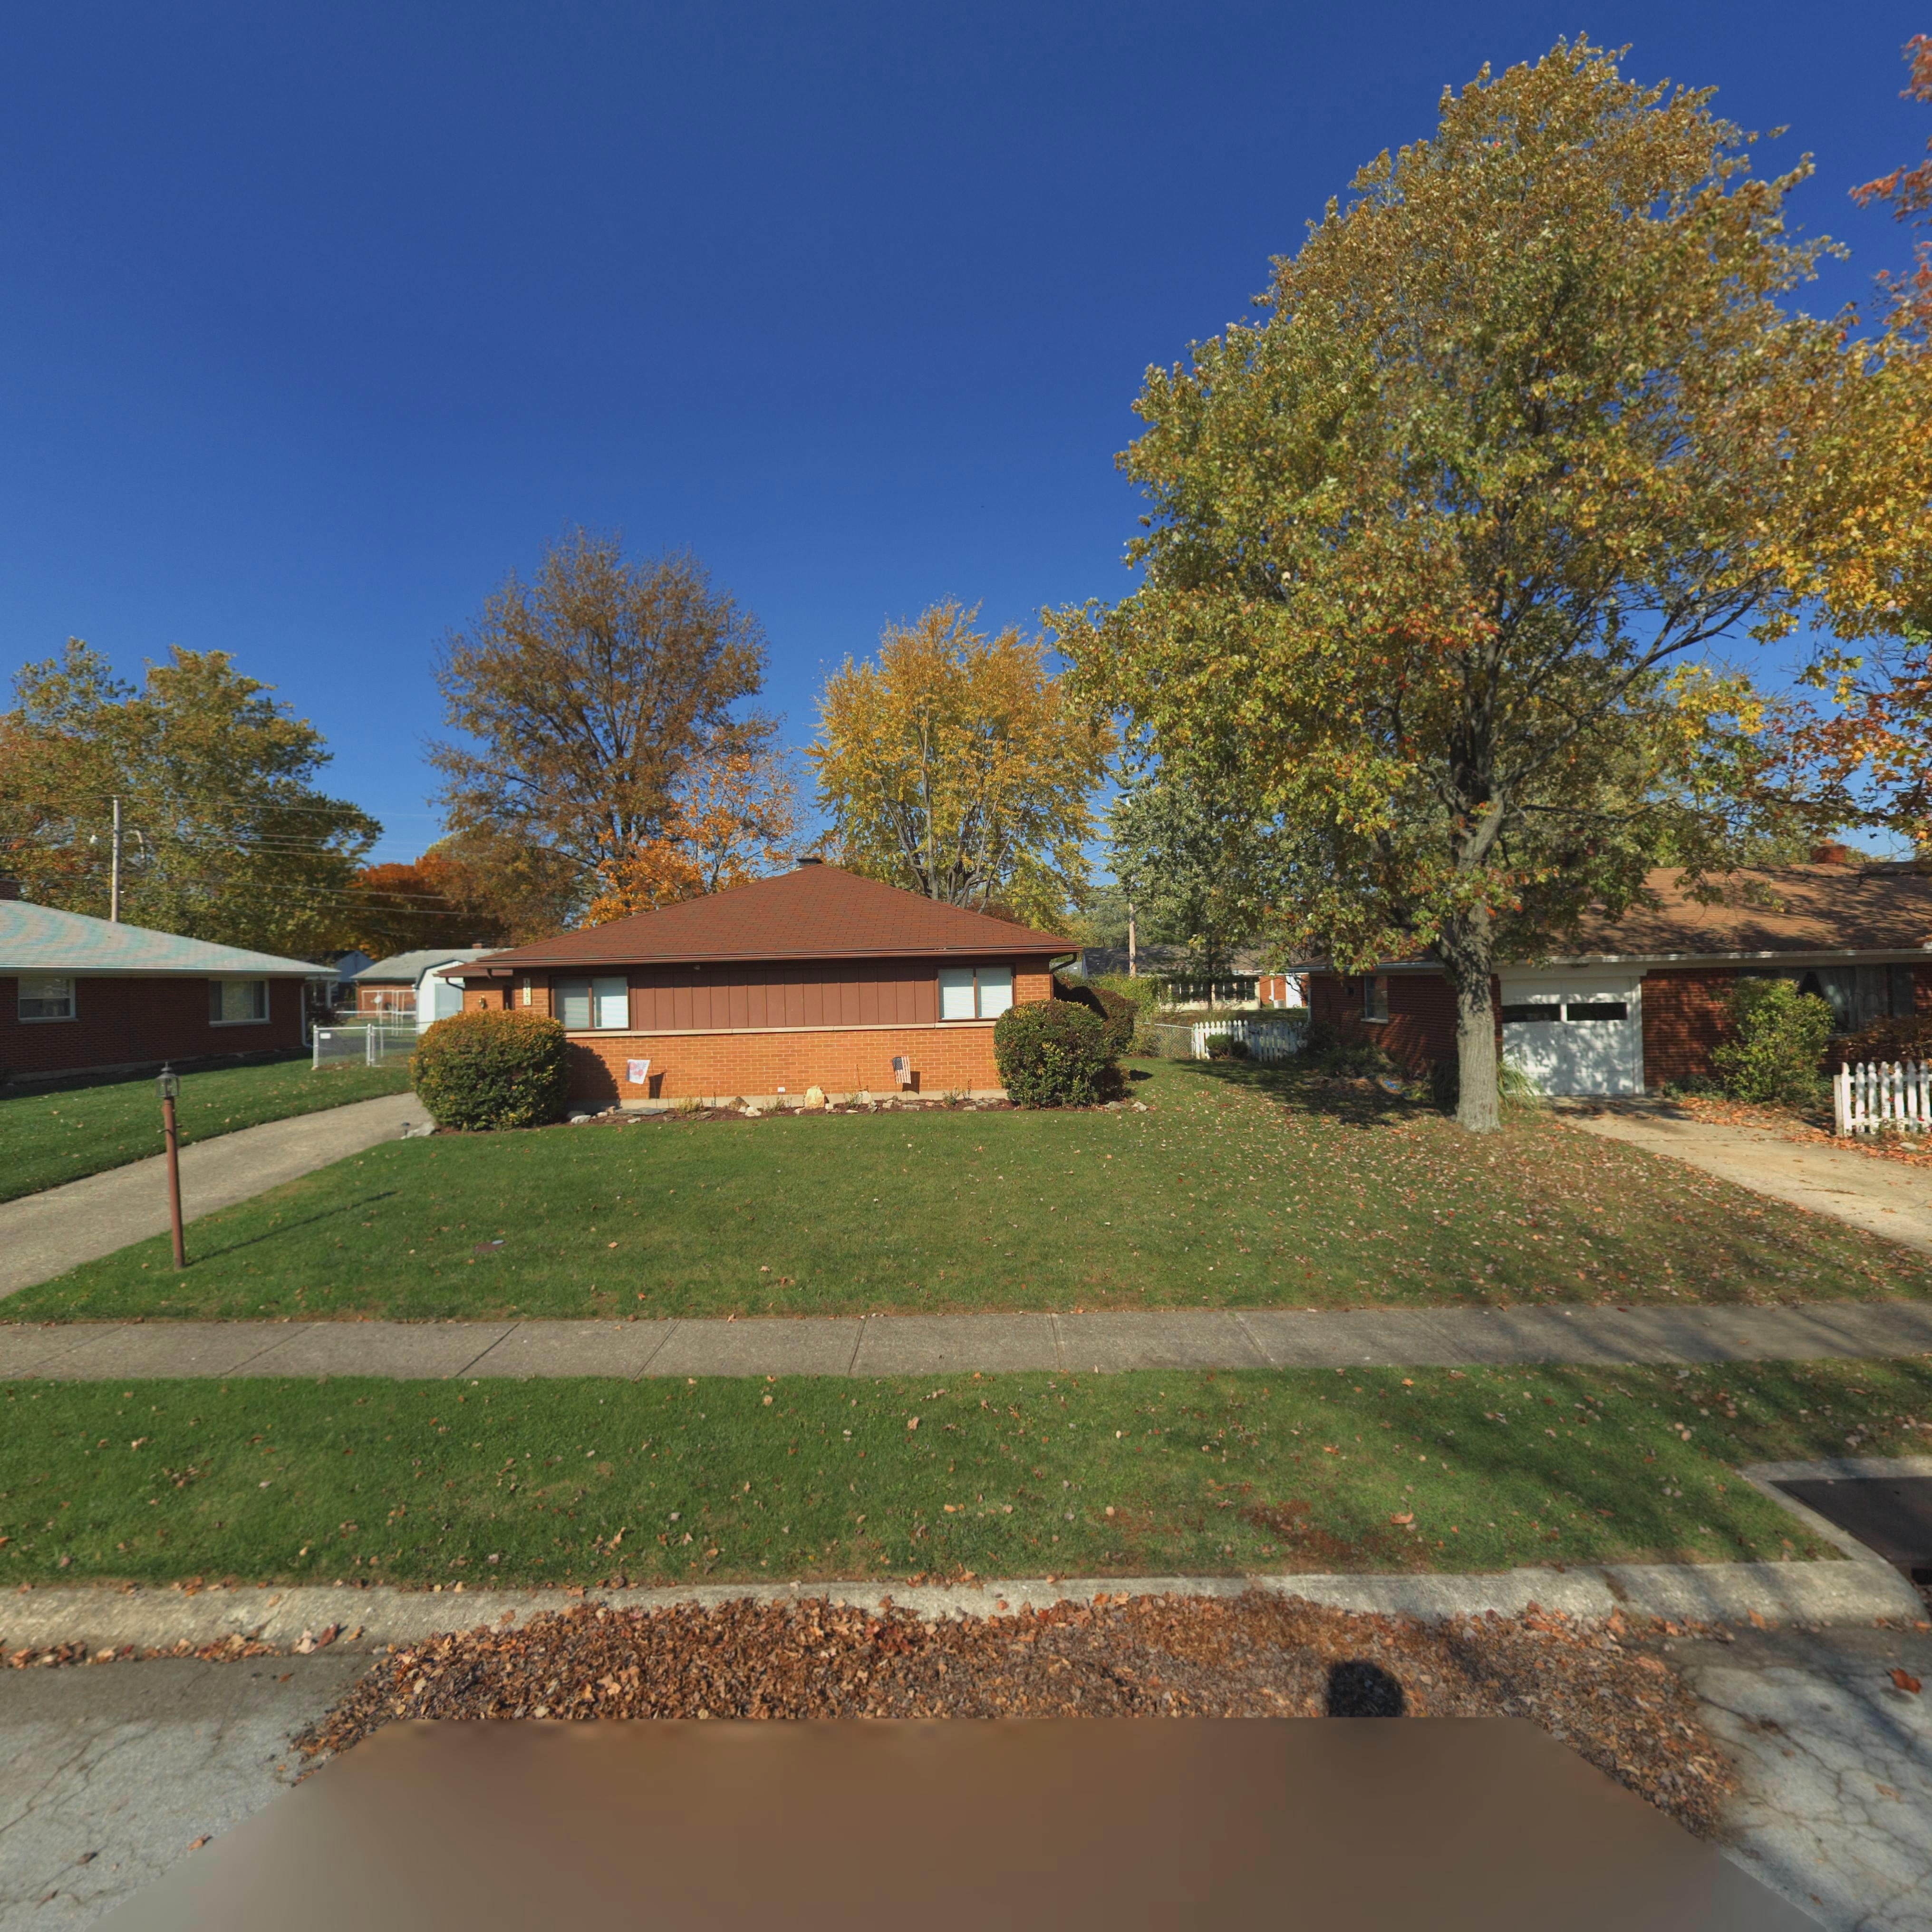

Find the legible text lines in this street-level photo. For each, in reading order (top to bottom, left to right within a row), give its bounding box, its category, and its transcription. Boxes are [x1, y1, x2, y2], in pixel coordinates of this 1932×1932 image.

[524, 978, 531, 1005] StreetNumber: 112*